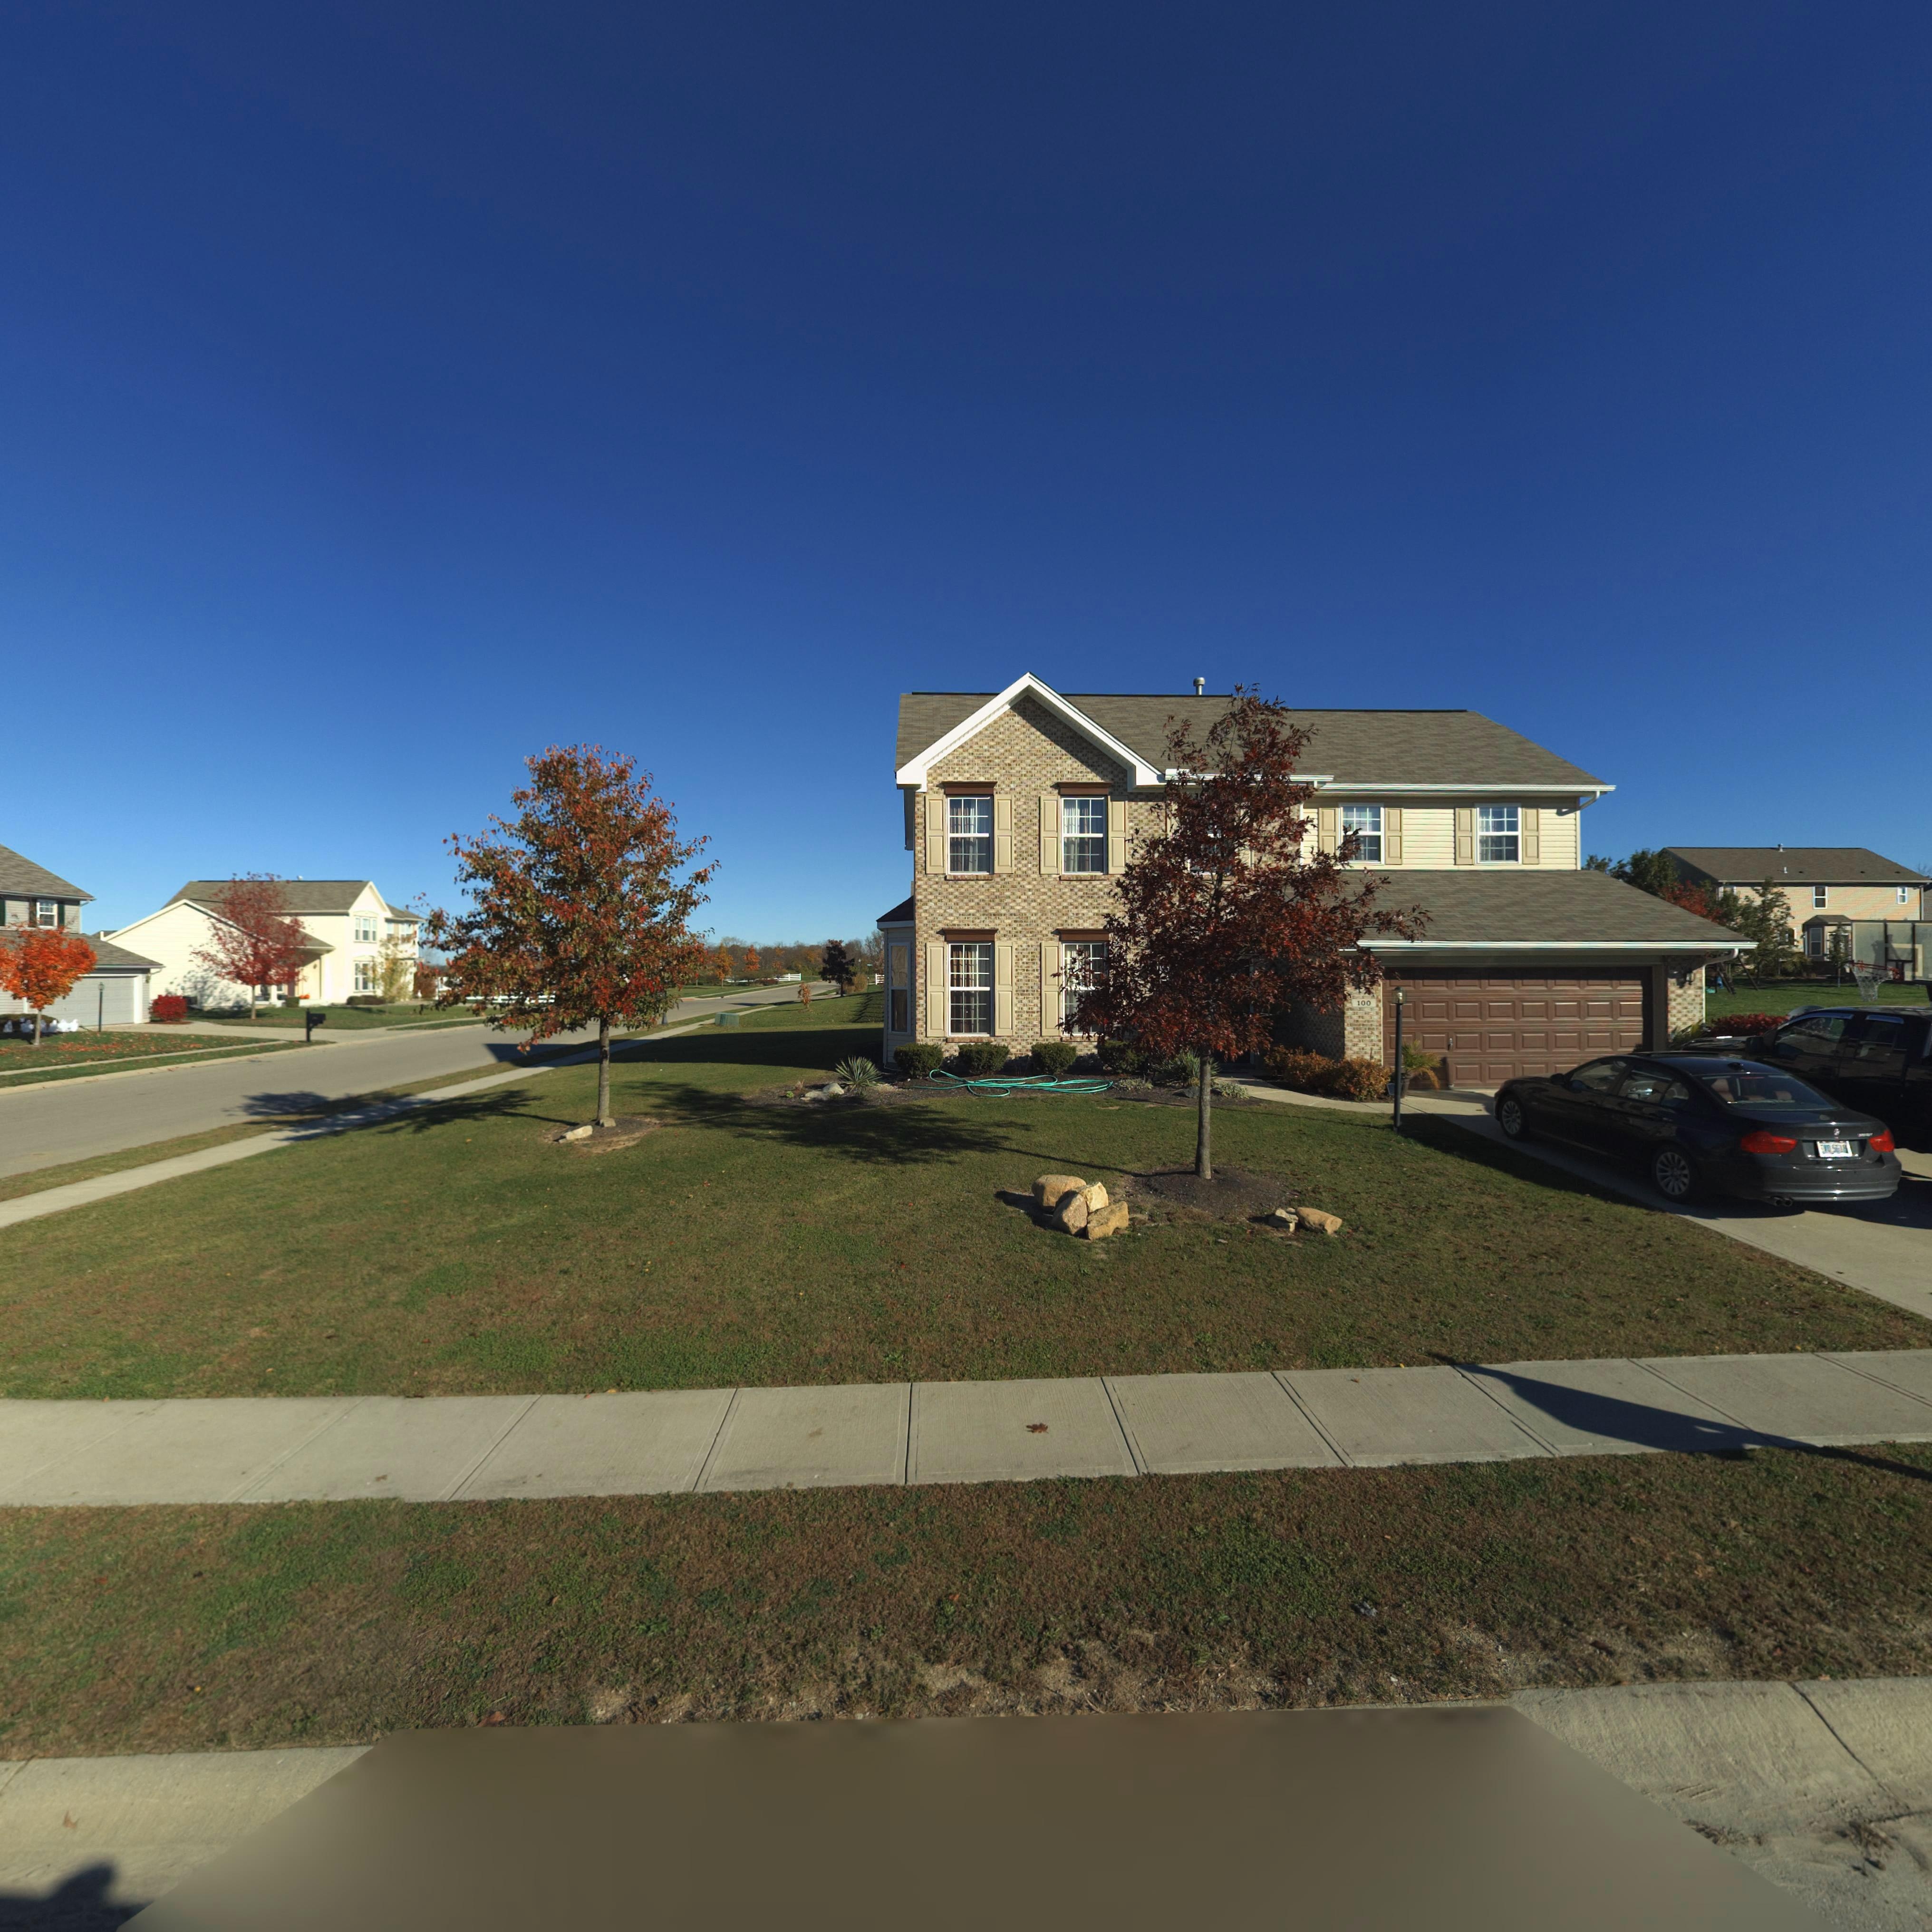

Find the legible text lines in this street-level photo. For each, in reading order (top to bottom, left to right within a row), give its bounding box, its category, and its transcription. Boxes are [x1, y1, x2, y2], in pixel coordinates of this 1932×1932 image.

[1356, 999, 1372, 1006] StreetNumber: 100